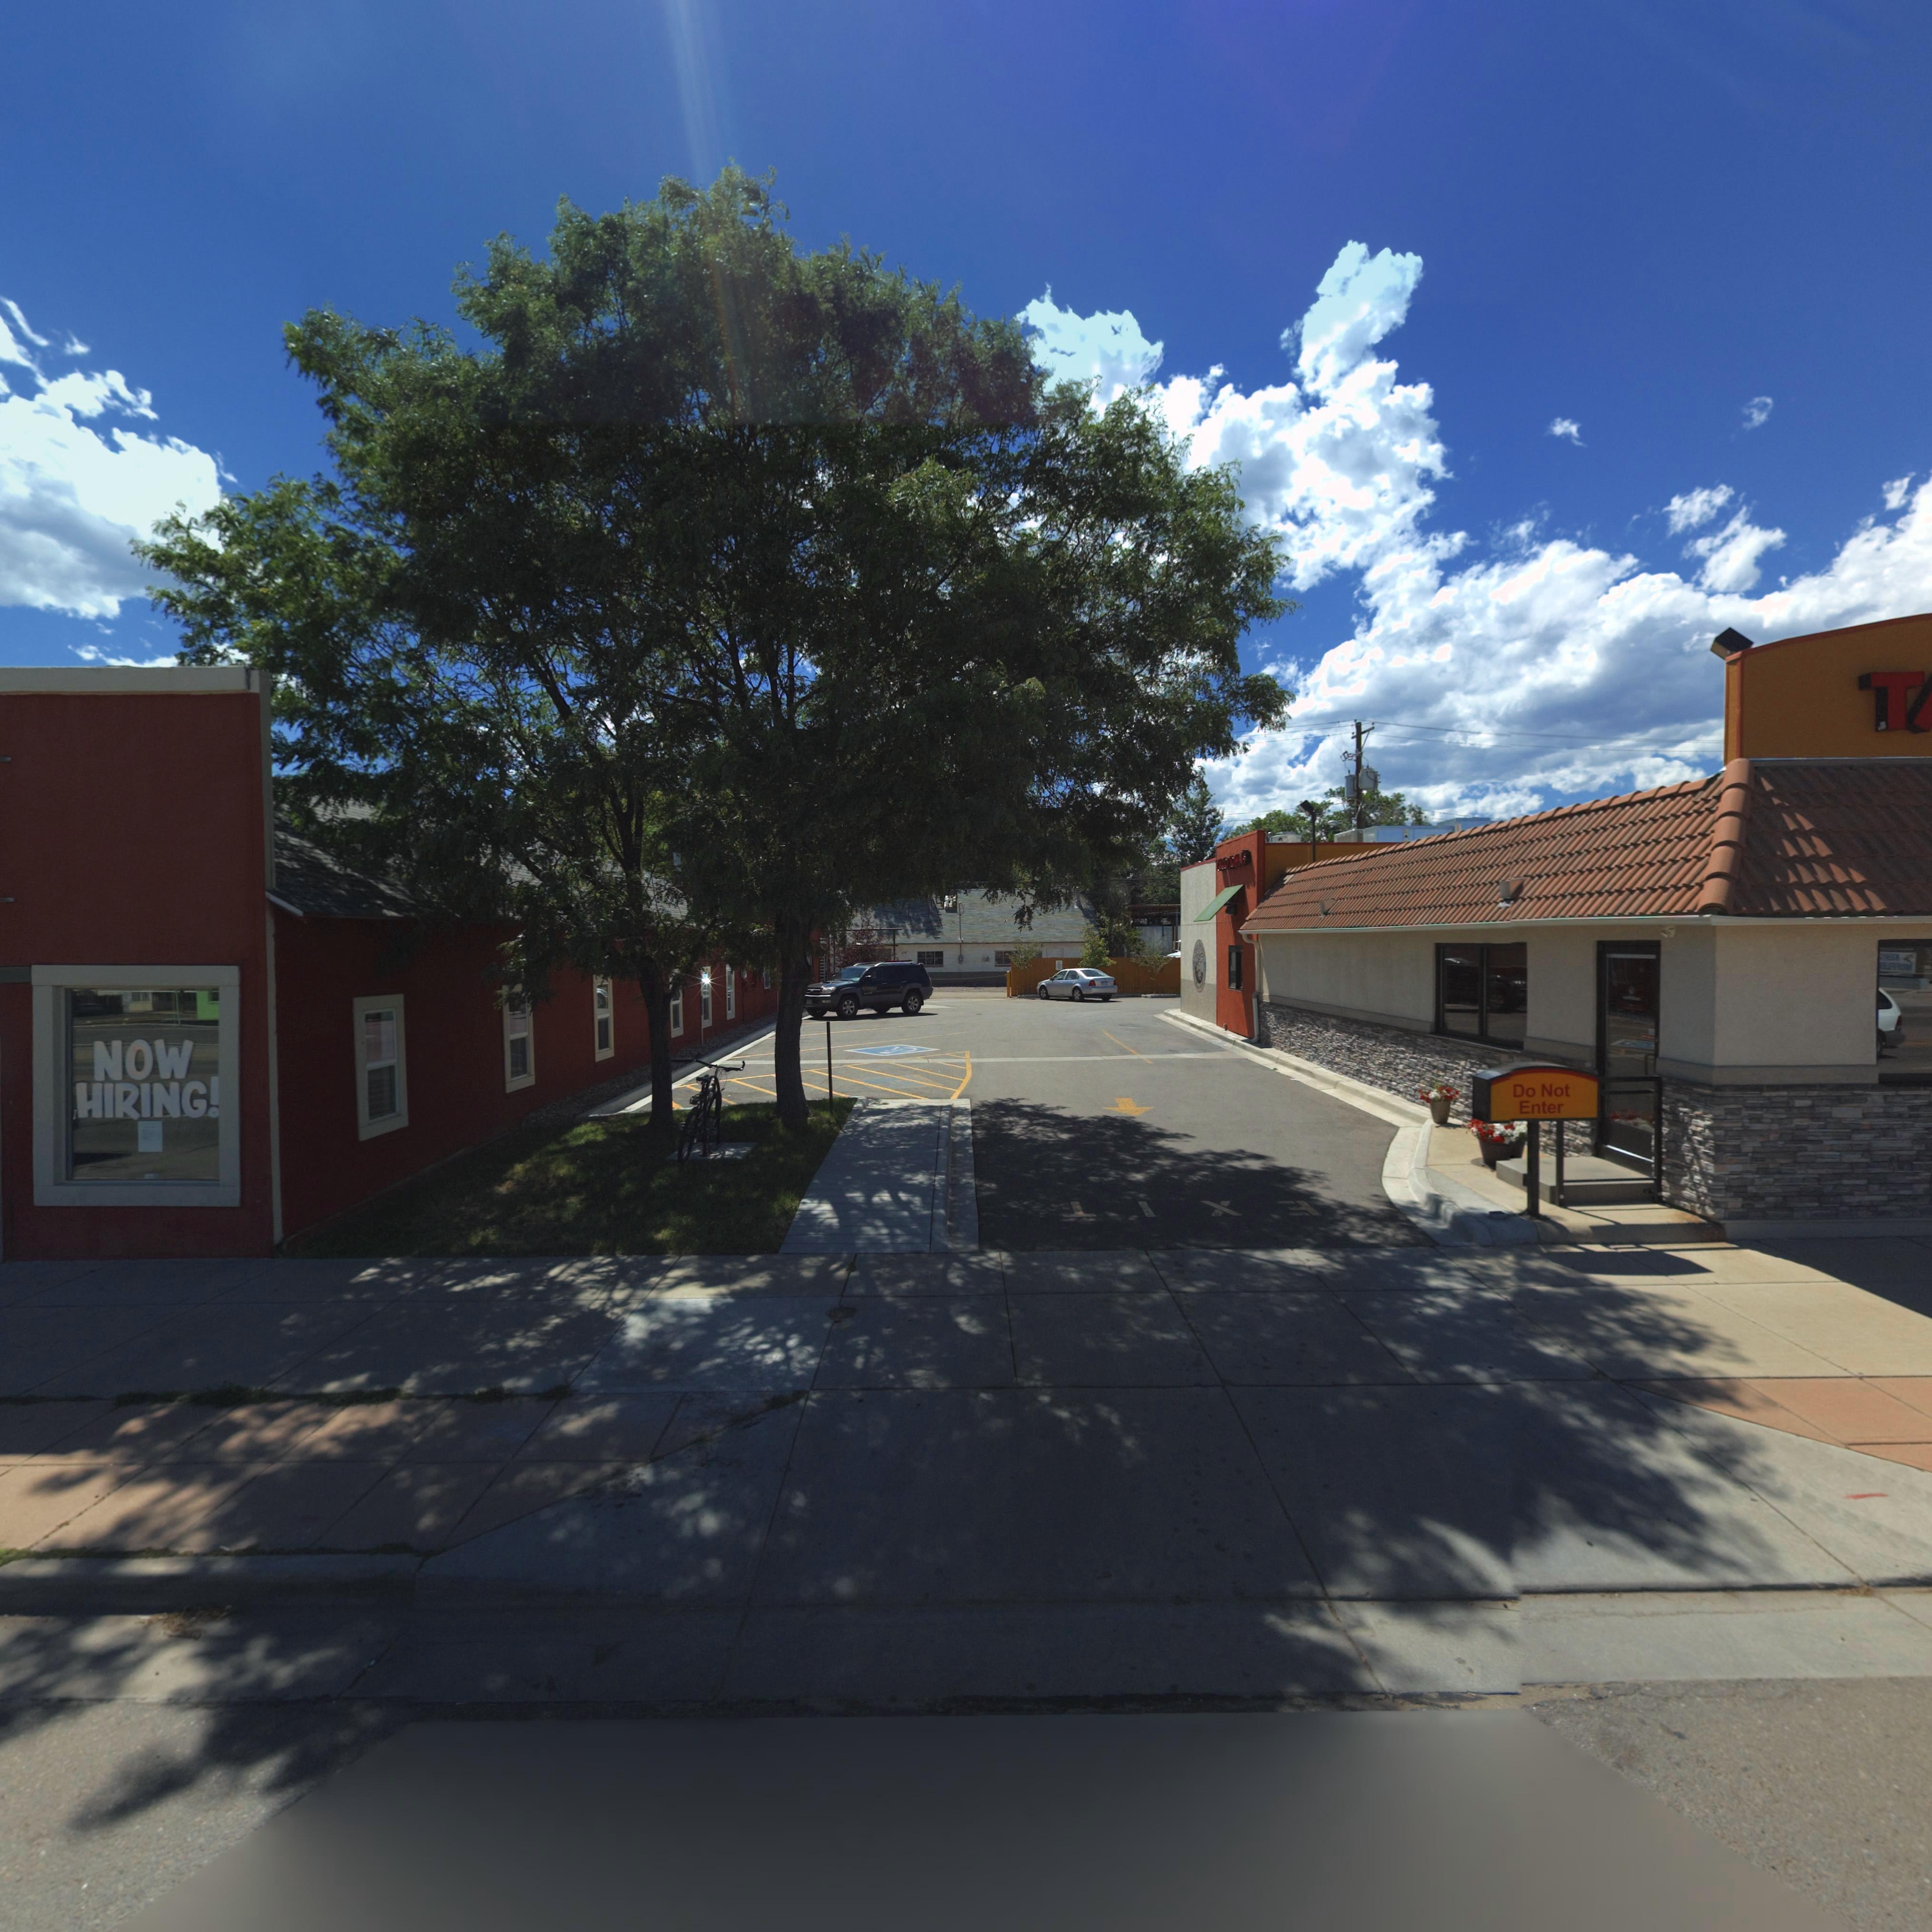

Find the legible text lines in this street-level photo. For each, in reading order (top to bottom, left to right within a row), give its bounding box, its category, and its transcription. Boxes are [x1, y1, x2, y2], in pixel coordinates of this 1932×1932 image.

[1870, 670, 1926, 730] BusinessName: T
[1215, 849, 1252, 871] BusinessName: TACO *OHN'*